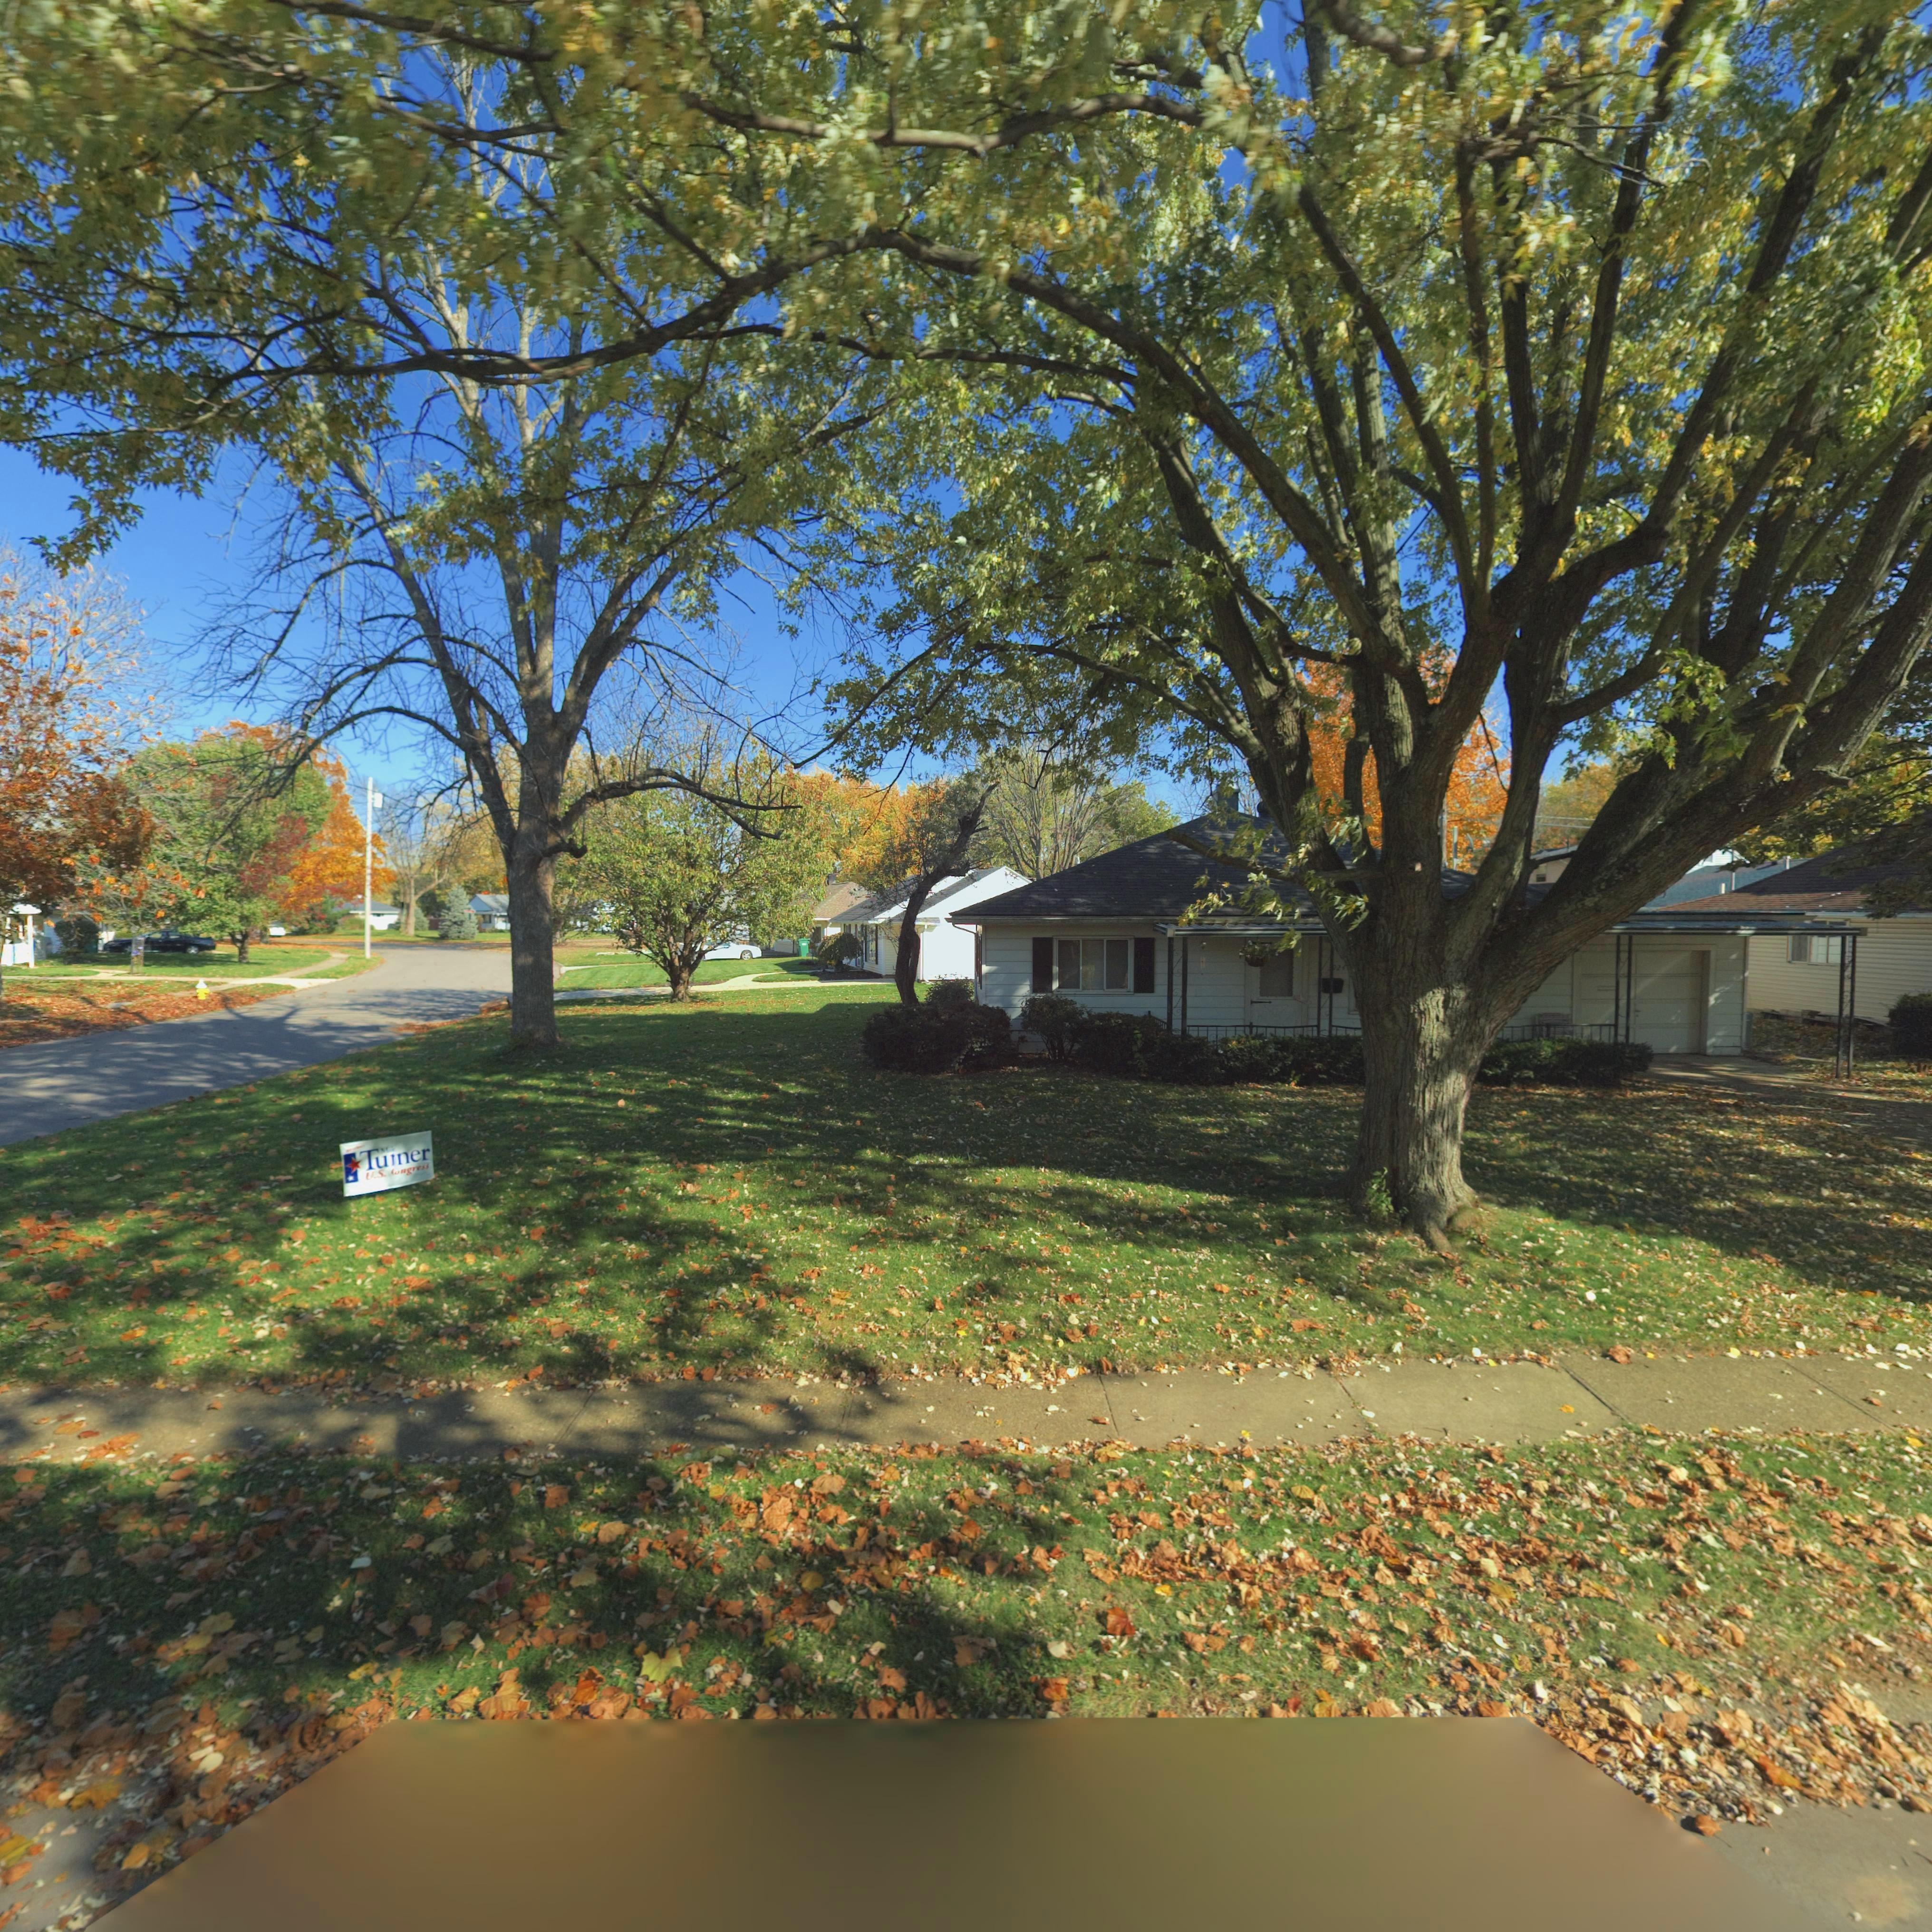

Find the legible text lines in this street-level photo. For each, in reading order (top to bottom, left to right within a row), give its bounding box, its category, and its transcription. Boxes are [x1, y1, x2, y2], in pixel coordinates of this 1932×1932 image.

[357, 1146, 432, 1173] None: Turner
[363, 1160, 432, 1183] None: U.S. Congress